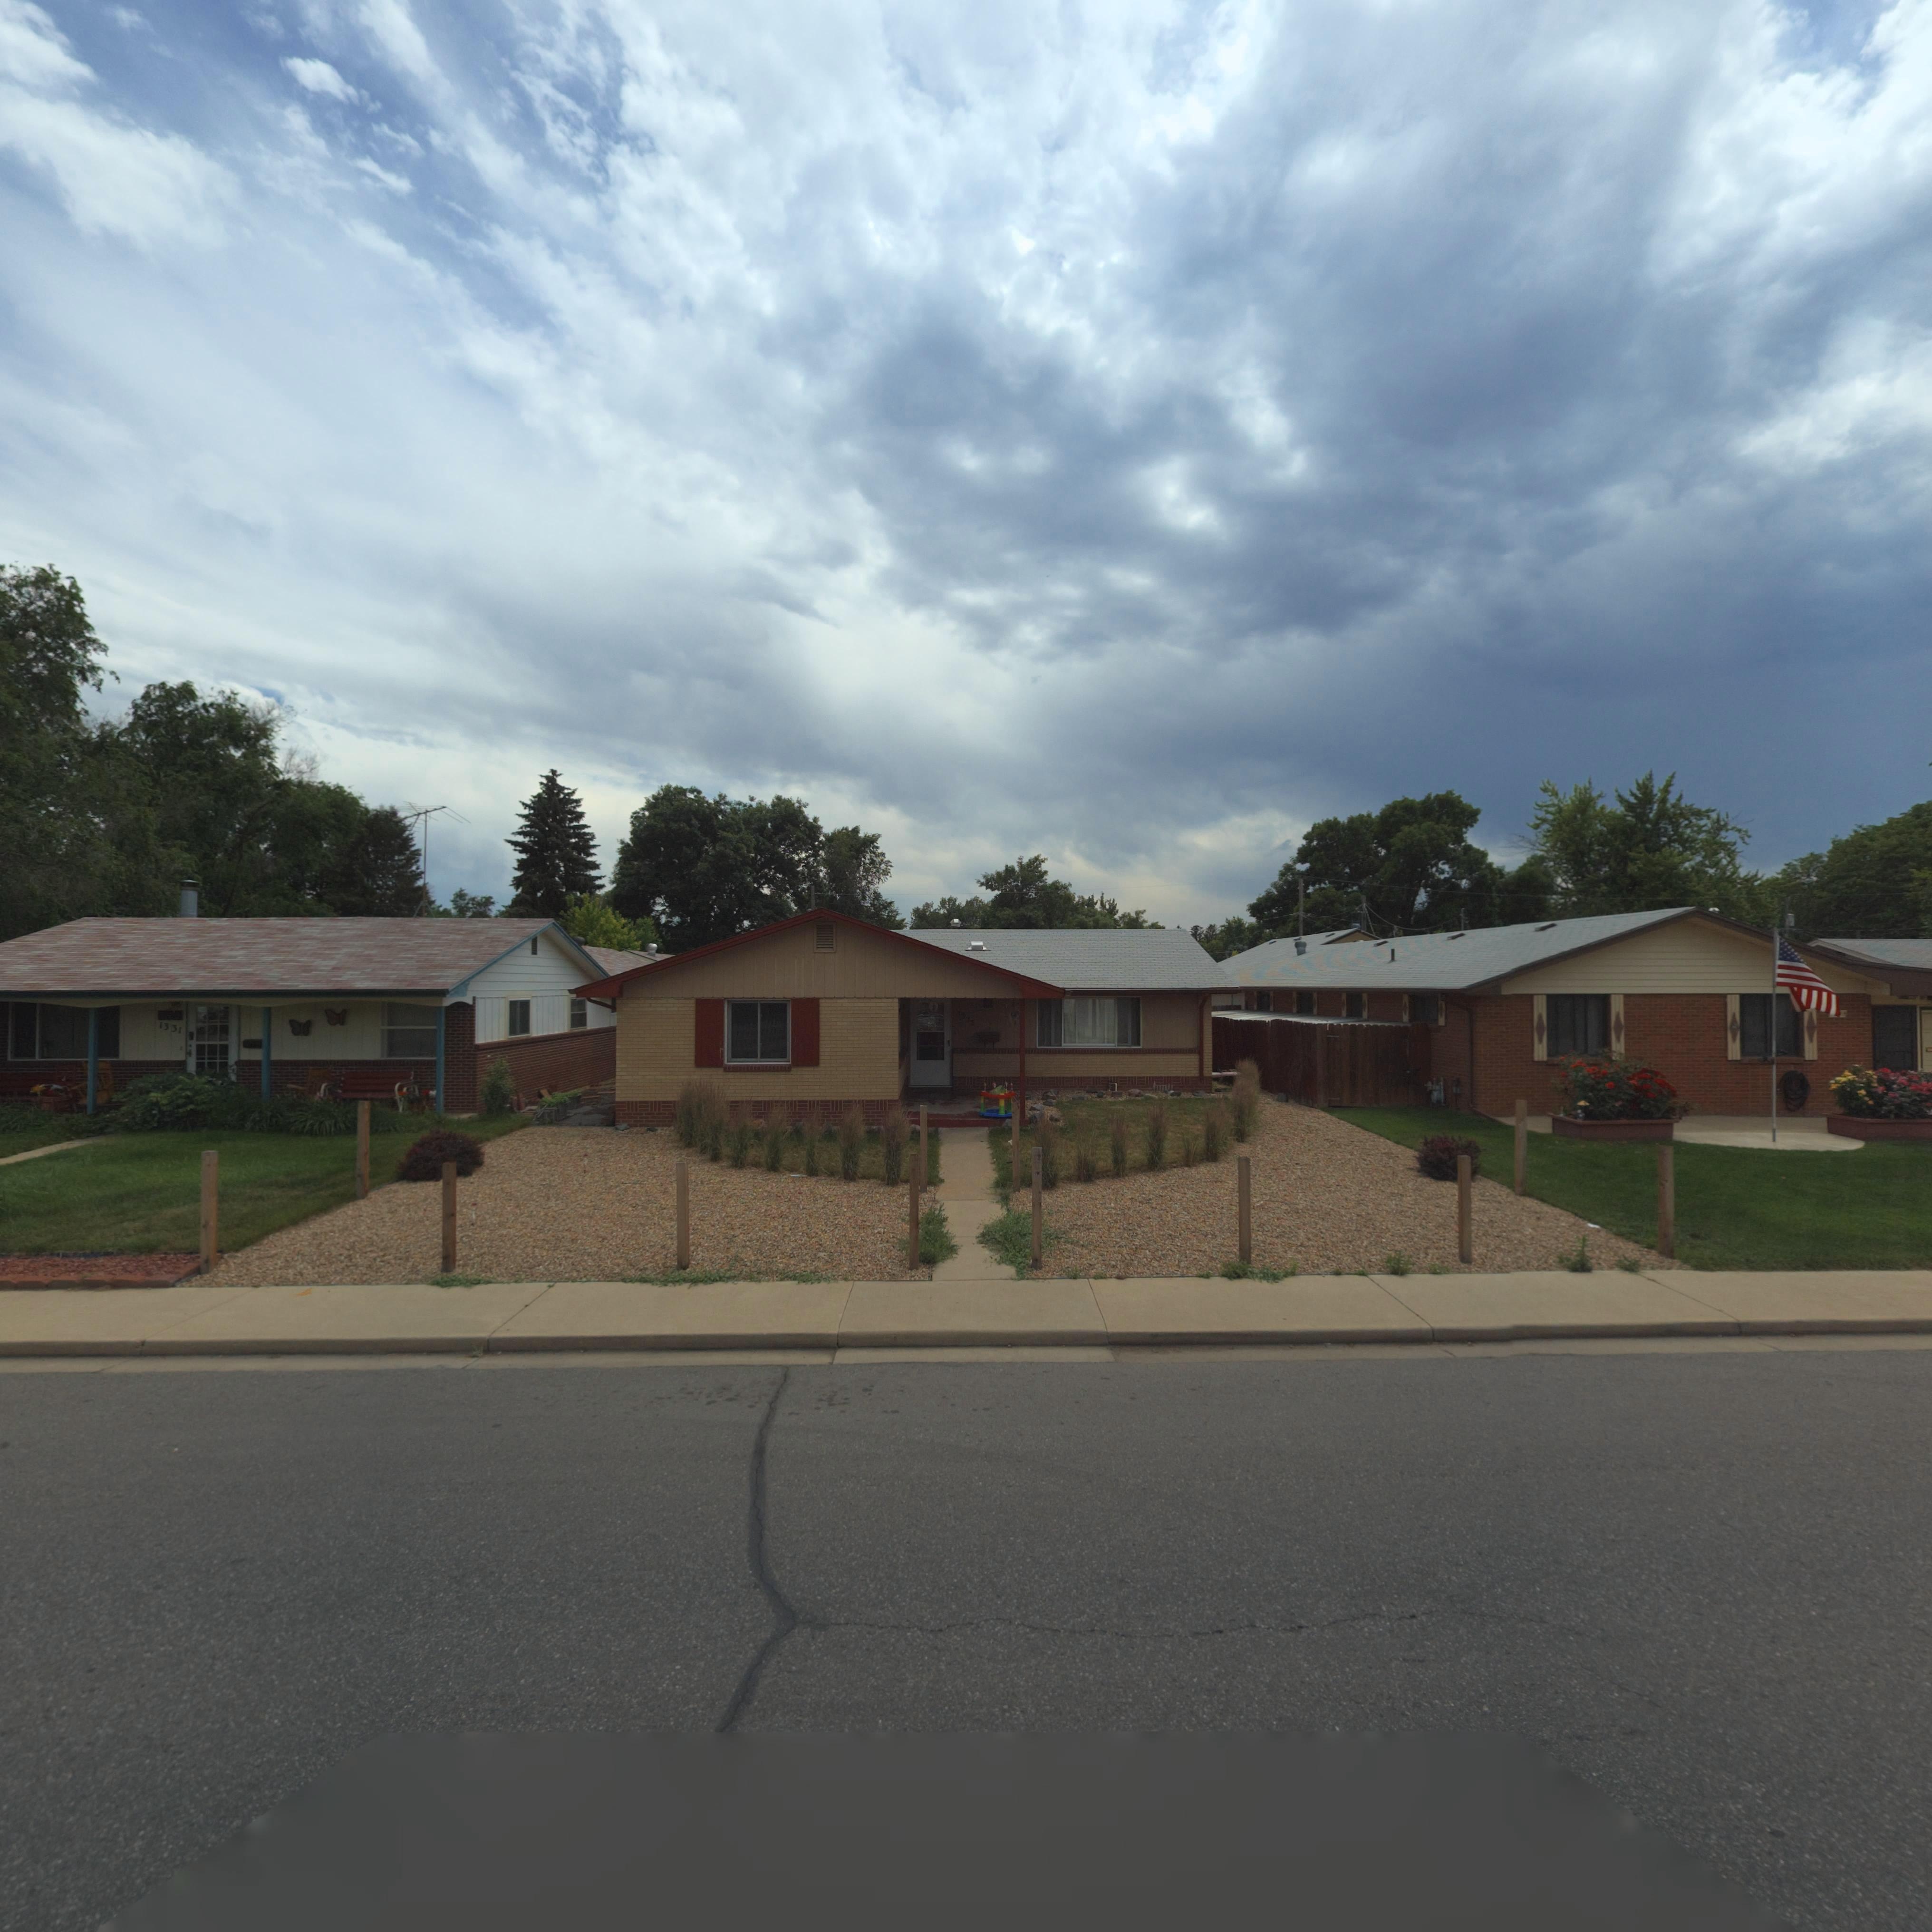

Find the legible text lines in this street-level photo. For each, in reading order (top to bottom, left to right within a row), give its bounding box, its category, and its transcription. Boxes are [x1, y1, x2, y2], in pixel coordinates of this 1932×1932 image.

[956, 1009, 976, 1027] StreetNumber: 1335
[159, 1021, 183, 1034] StreetNumber: 1331